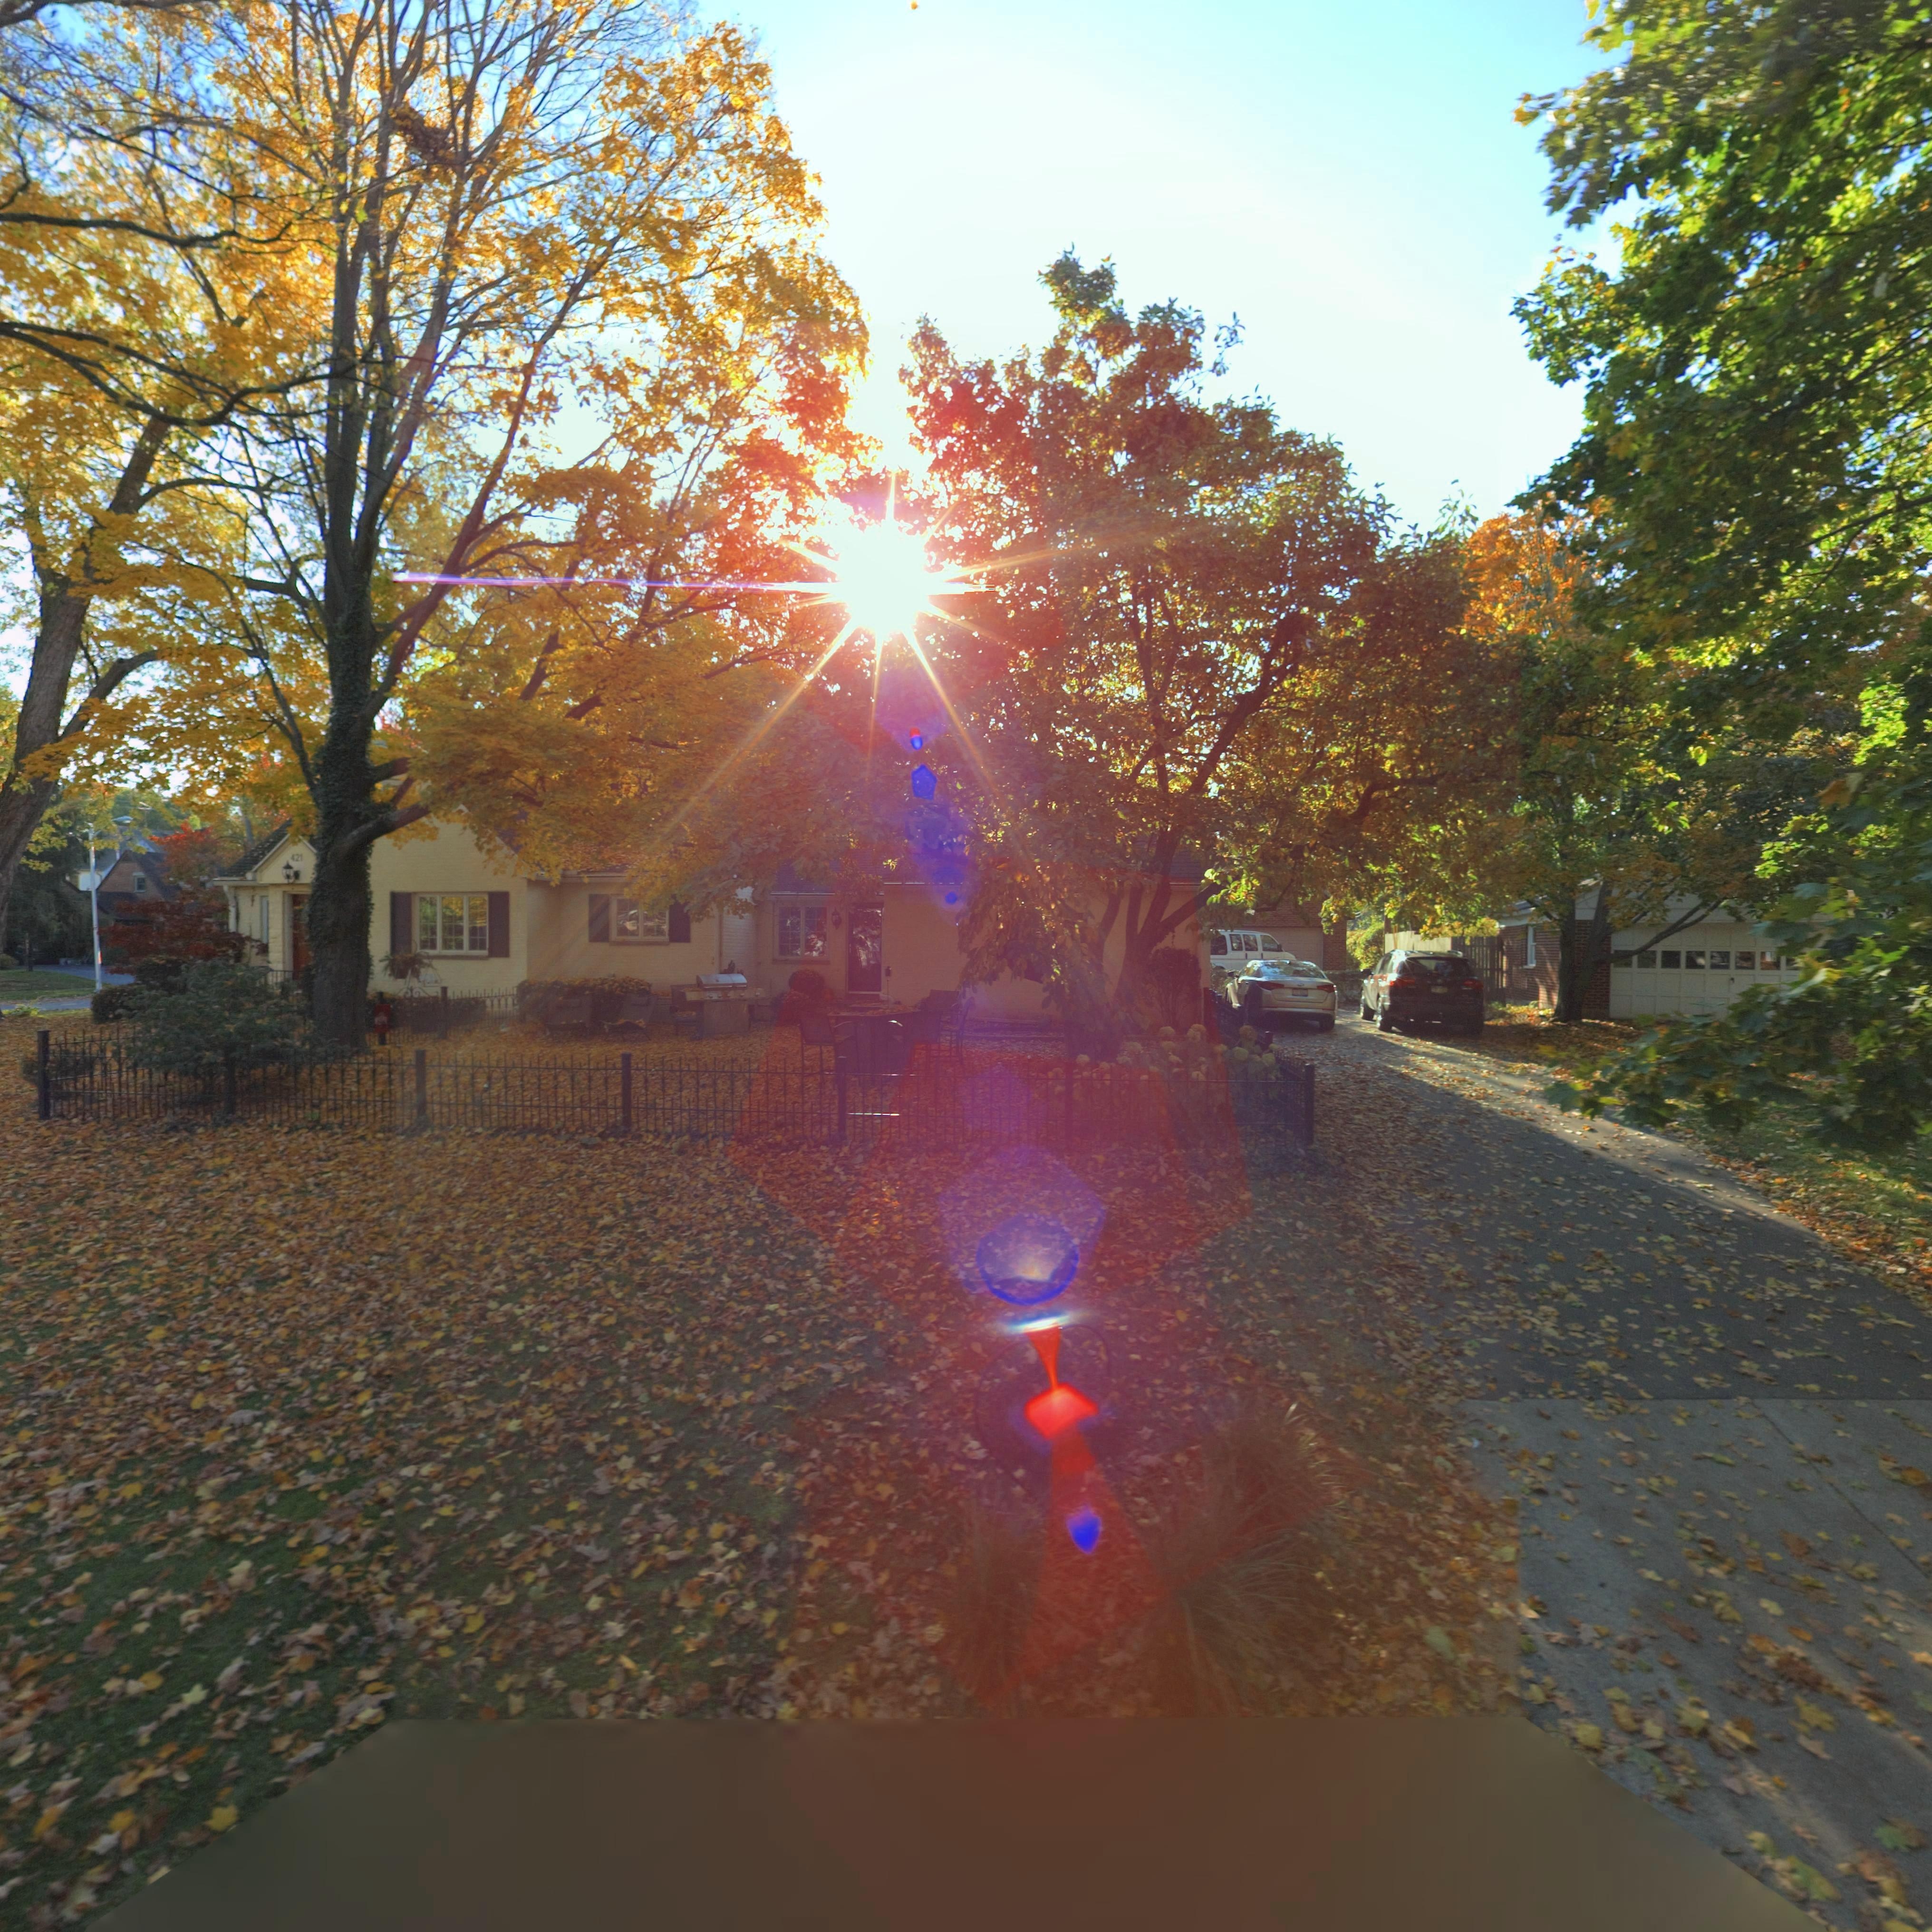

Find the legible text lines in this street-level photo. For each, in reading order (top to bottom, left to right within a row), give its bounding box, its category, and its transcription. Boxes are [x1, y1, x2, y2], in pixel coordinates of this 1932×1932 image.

[289, 852, 303, 863] StreetNumber: 421